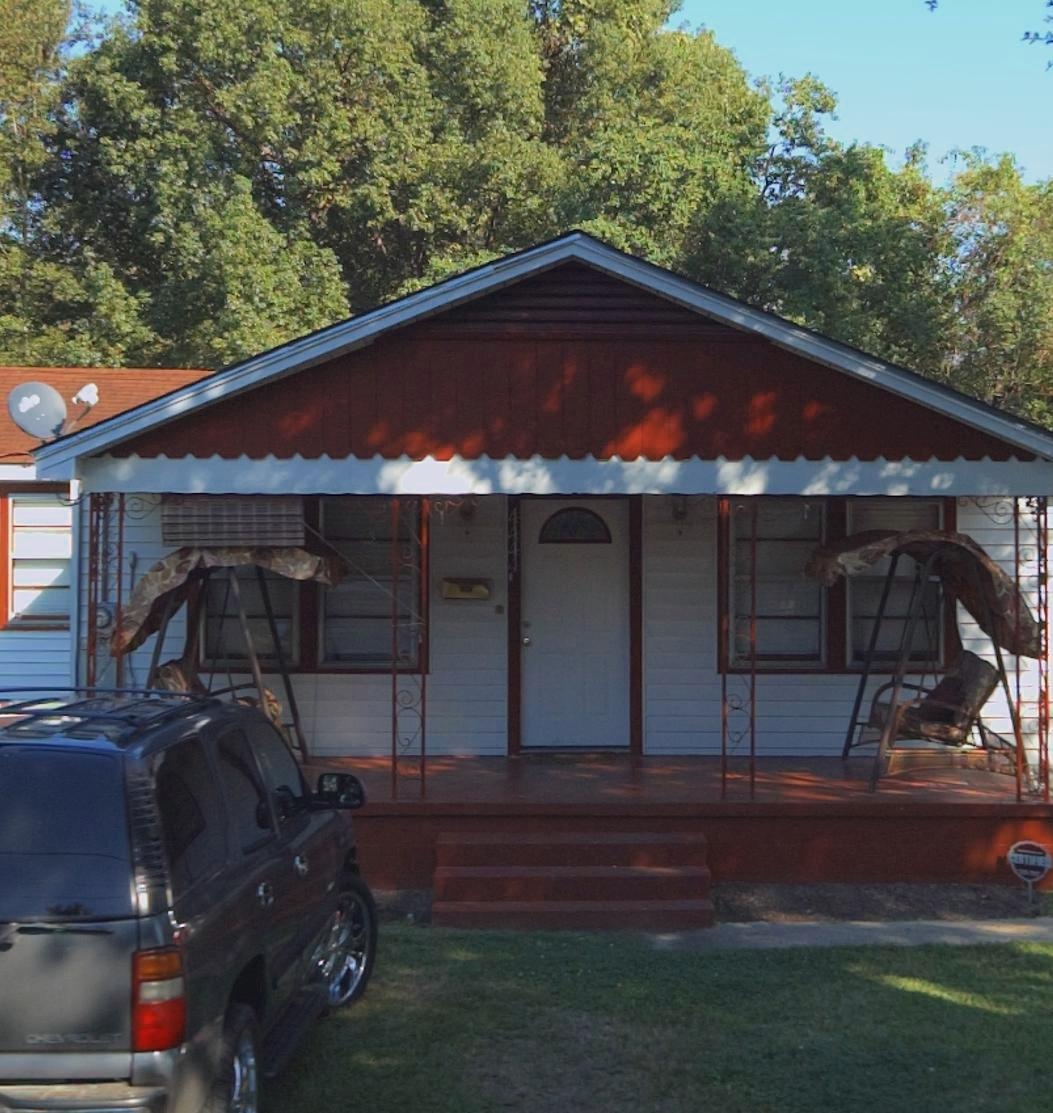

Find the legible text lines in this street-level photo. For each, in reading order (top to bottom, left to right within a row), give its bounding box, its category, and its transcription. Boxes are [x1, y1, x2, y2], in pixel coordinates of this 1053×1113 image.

[507, 500, 520, 575] StreetNumber: 4444
[1007, 852, 1052, 868] None: CERTIFIED
[24, 1033, 123, 1045] None: CHEVROLET